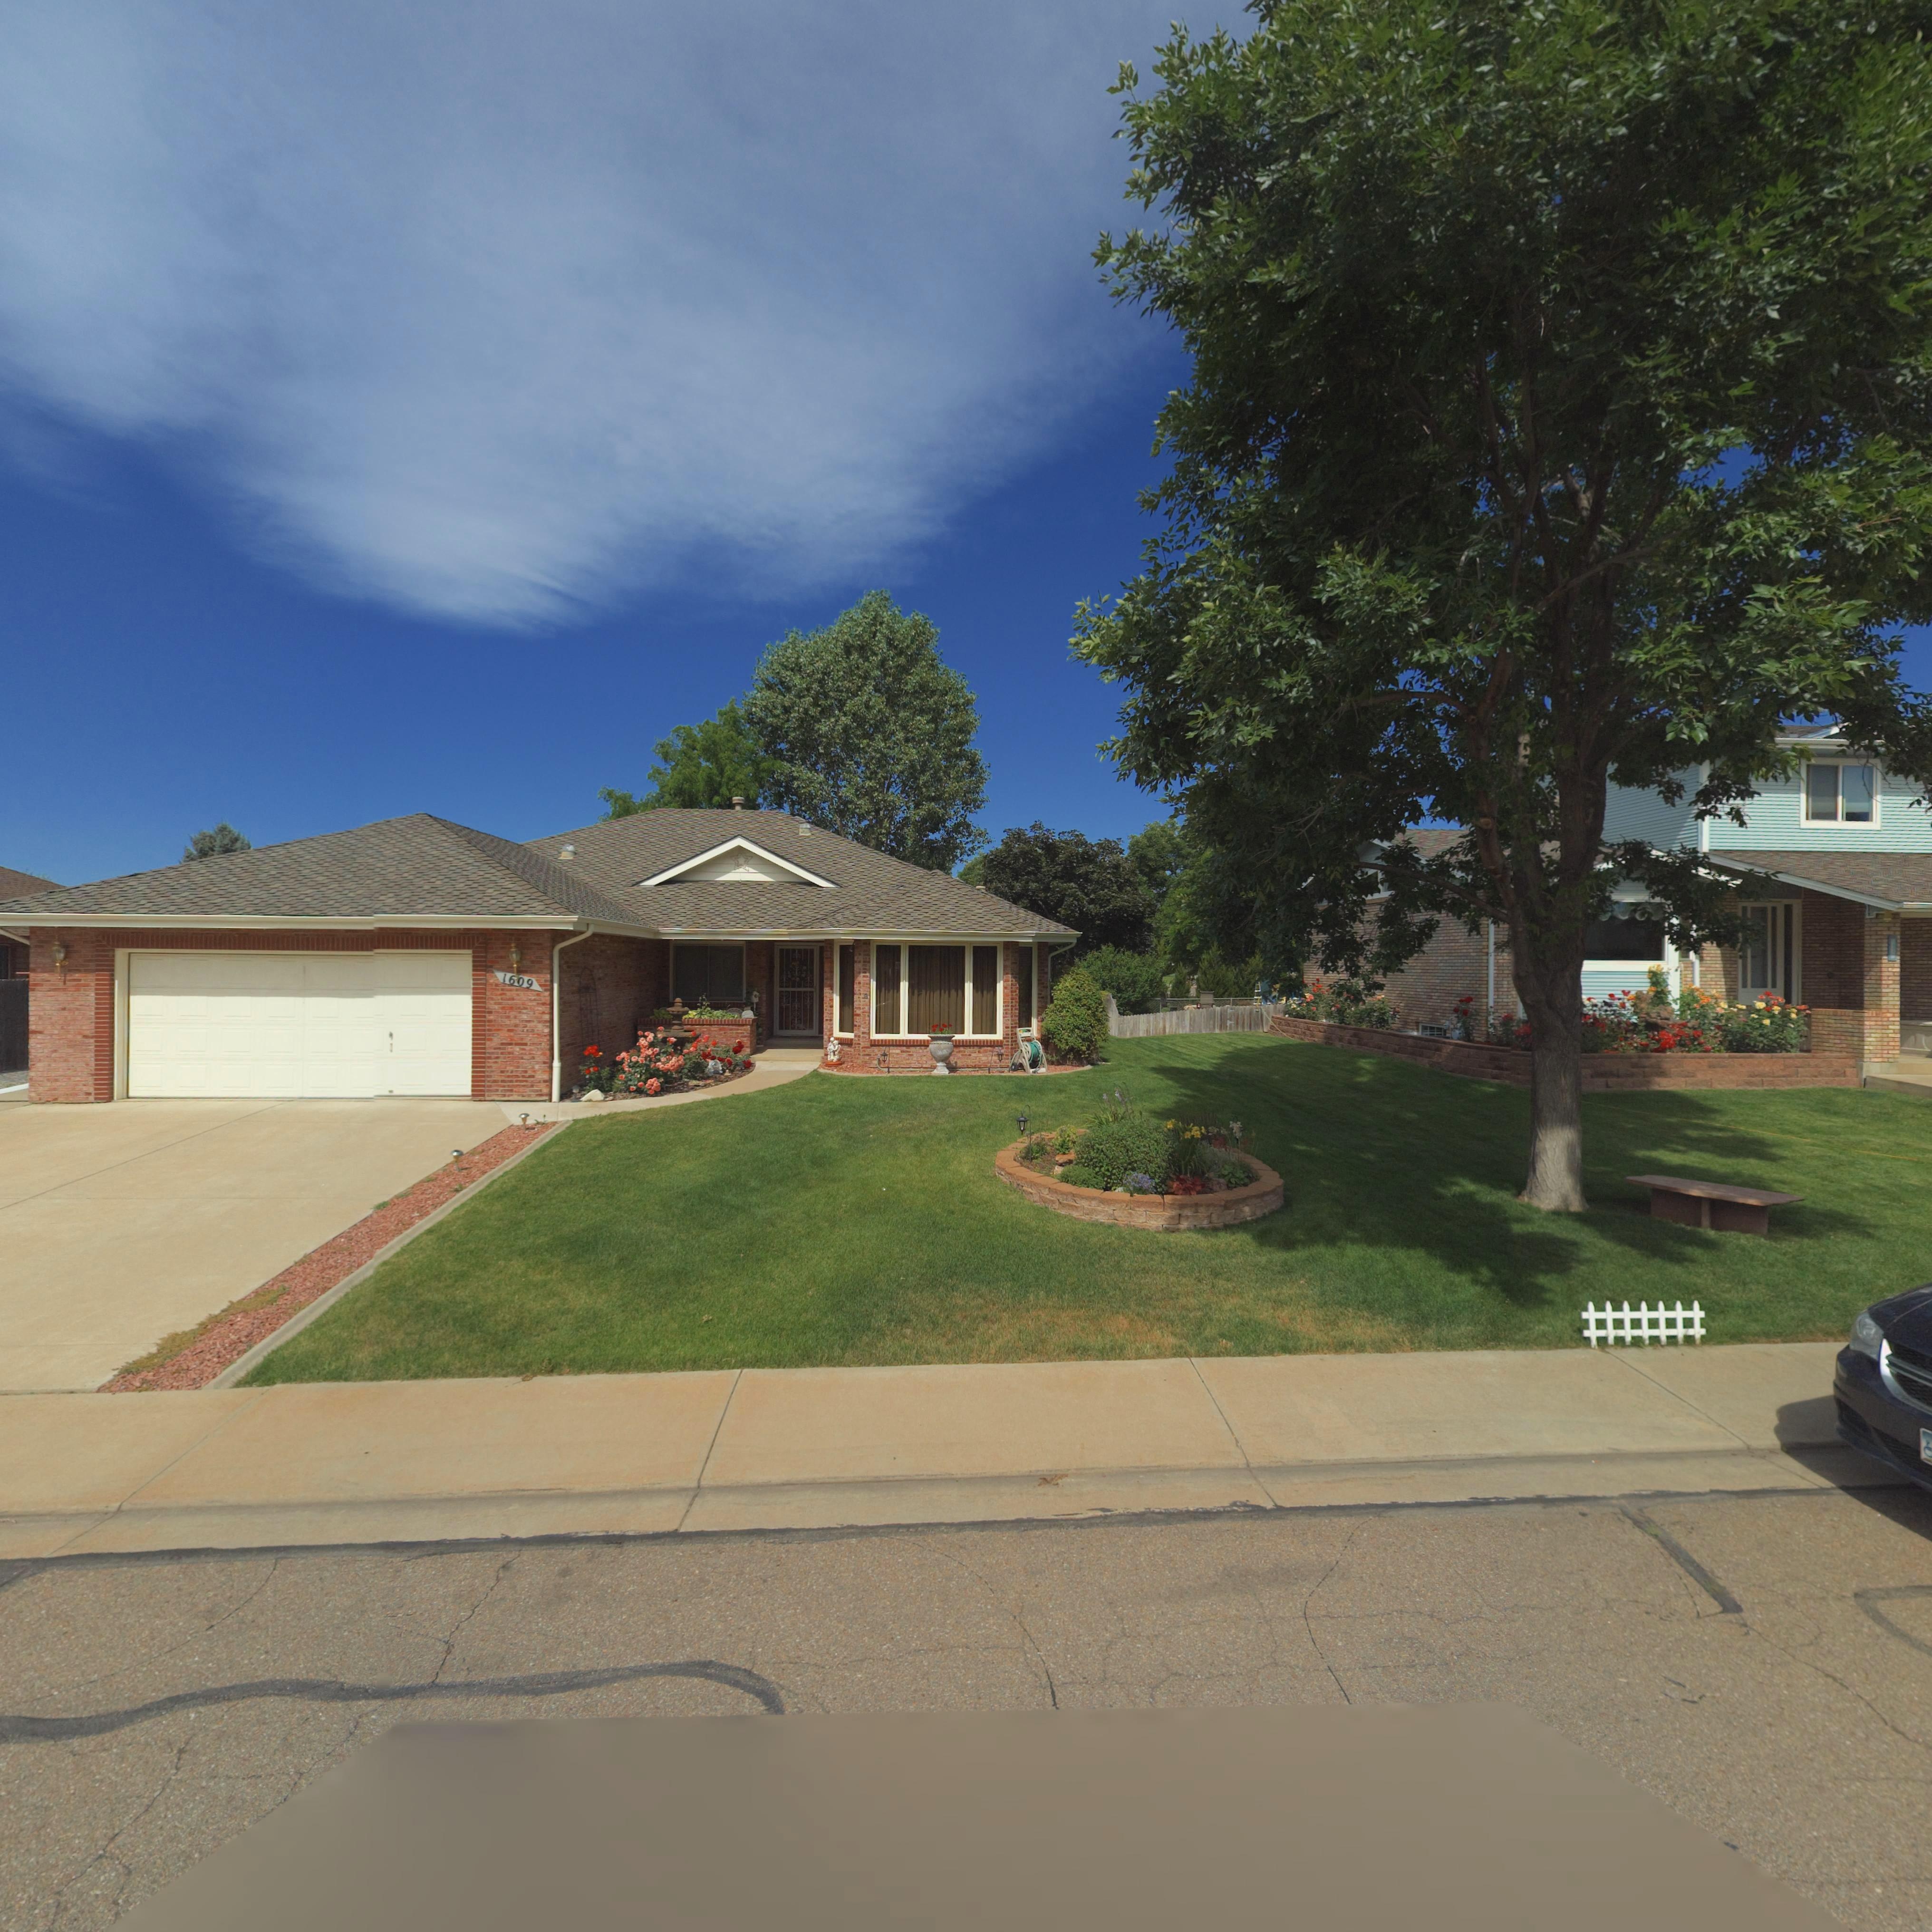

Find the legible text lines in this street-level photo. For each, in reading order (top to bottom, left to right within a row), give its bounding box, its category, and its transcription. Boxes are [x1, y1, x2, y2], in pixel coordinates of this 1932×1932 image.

[502, 973, 534, 989] StreetNumber: 1609